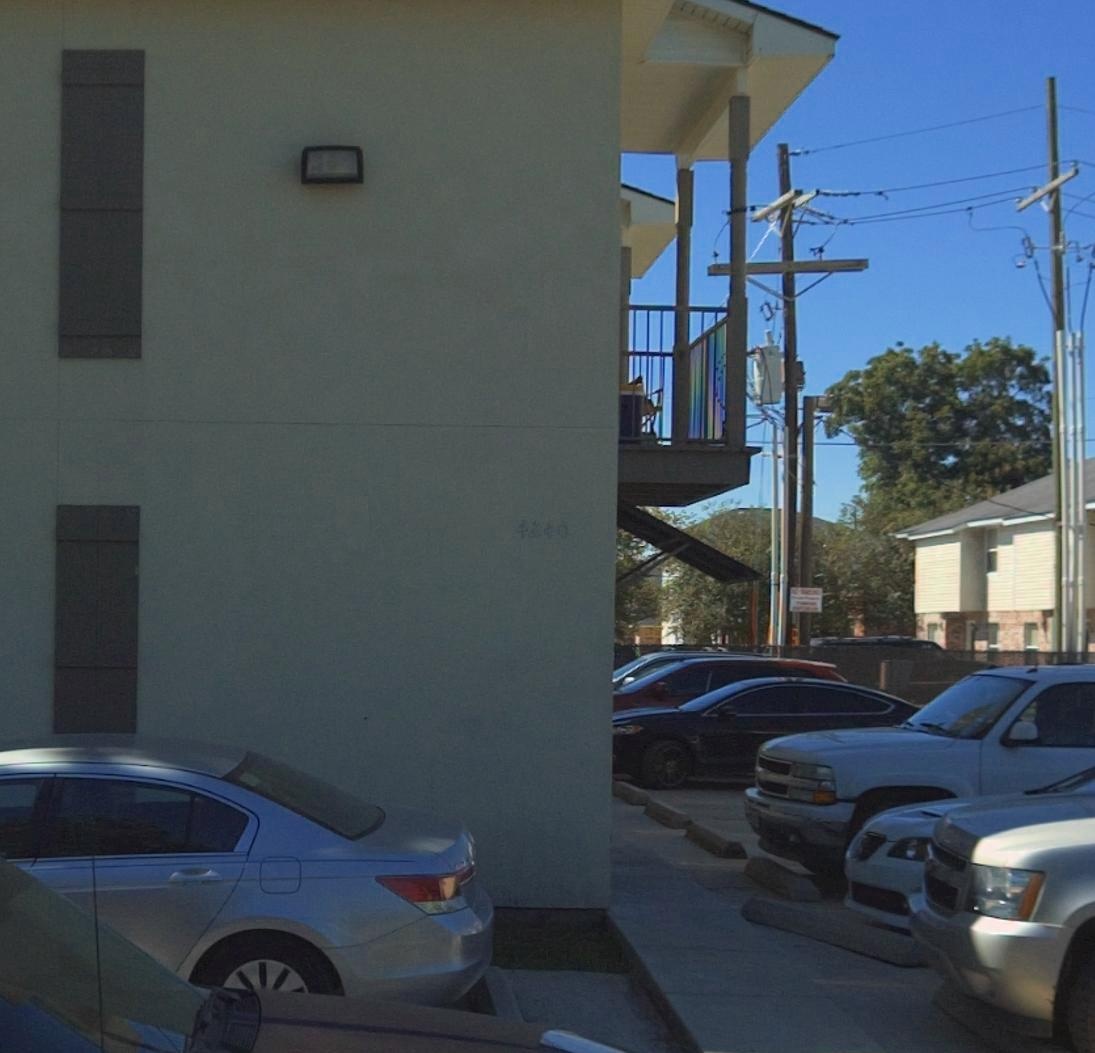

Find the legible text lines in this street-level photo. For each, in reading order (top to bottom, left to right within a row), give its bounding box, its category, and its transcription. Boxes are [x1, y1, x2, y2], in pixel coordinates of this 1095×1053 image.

[515, 518, 570, 540] StreetNumber: 4240